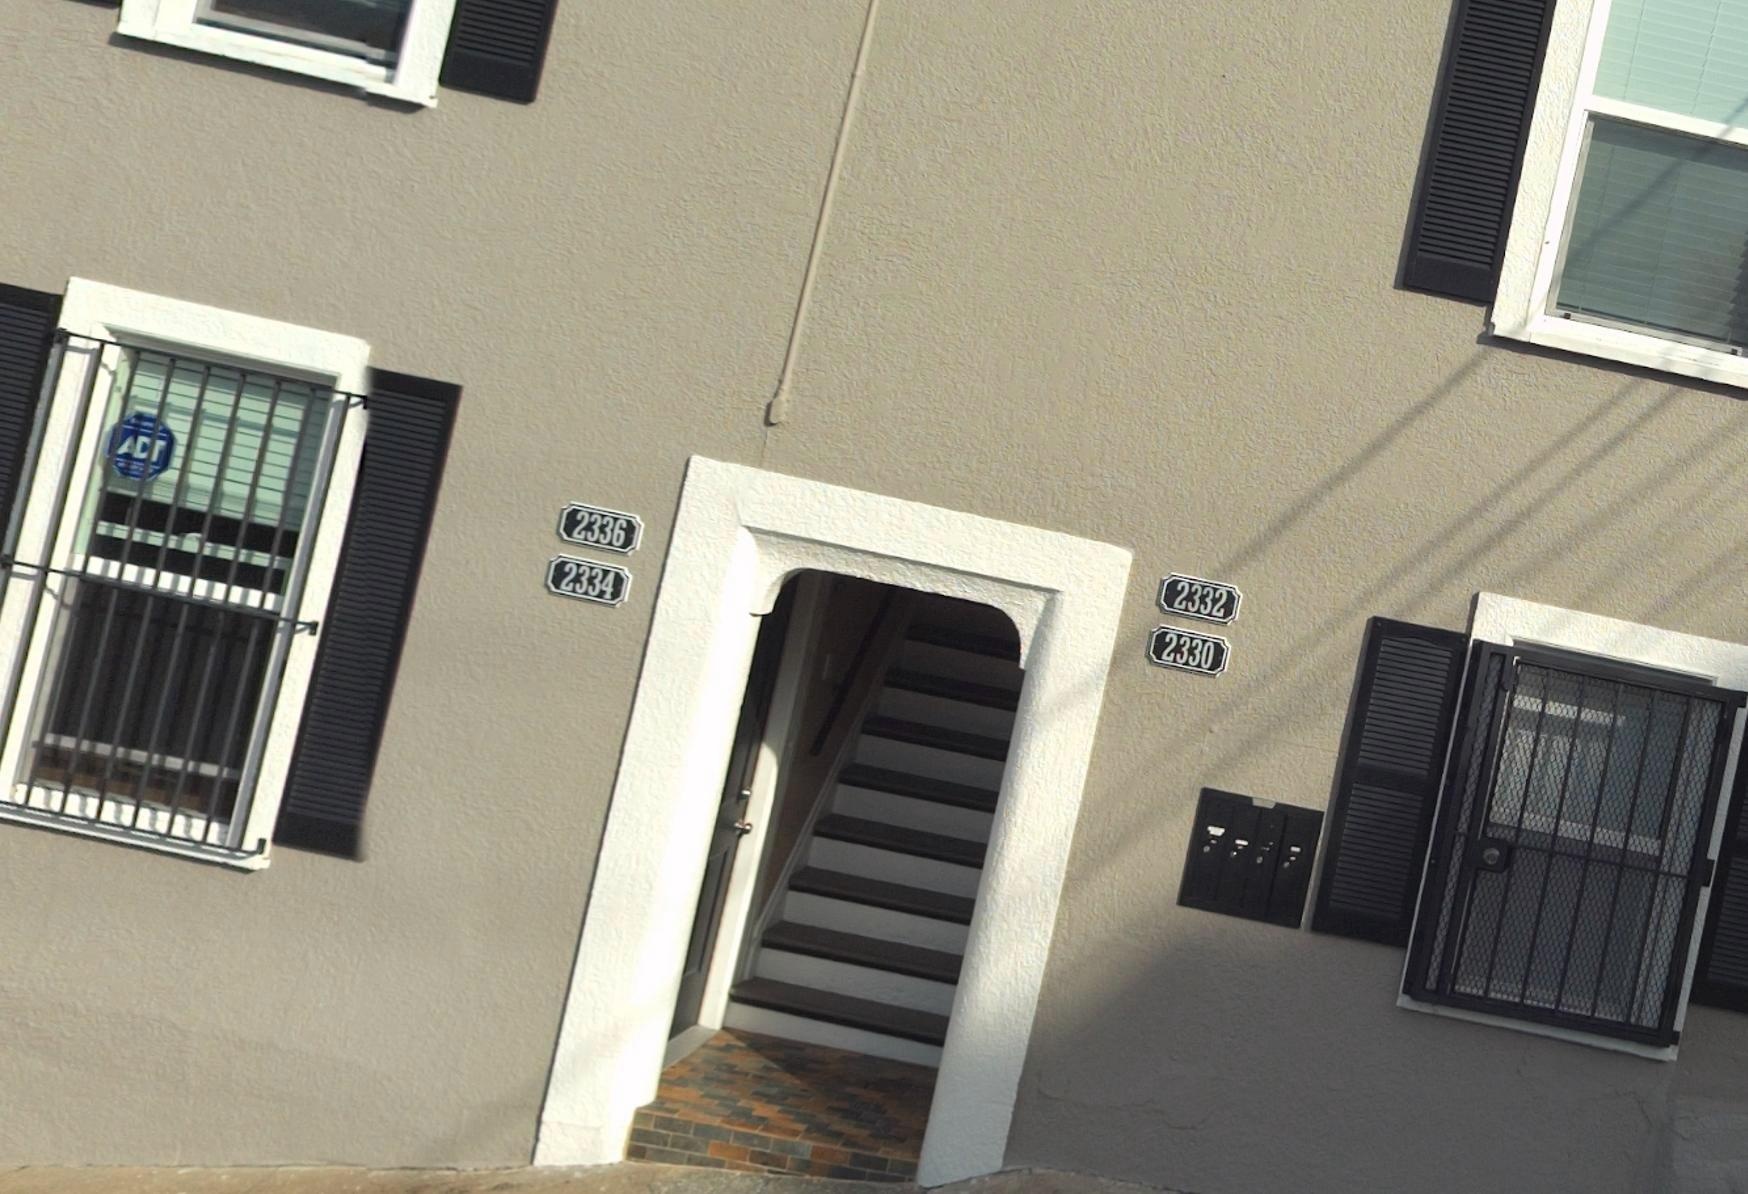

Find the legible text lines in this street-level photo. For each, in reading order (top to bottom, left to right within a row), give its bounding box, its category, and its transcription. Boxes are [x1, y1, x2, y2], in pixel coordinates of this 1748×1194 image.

[114, 430, 139, 460] None: A
[569, 510, 629, 548] StreetNumber: 2336
[557, 561, 617, 601] StreetNumber: 2334
[1171, 580, 1229, 619] StreetNumber: 2332
[1158, 631, 1217, 671] StreetNumber: 2330